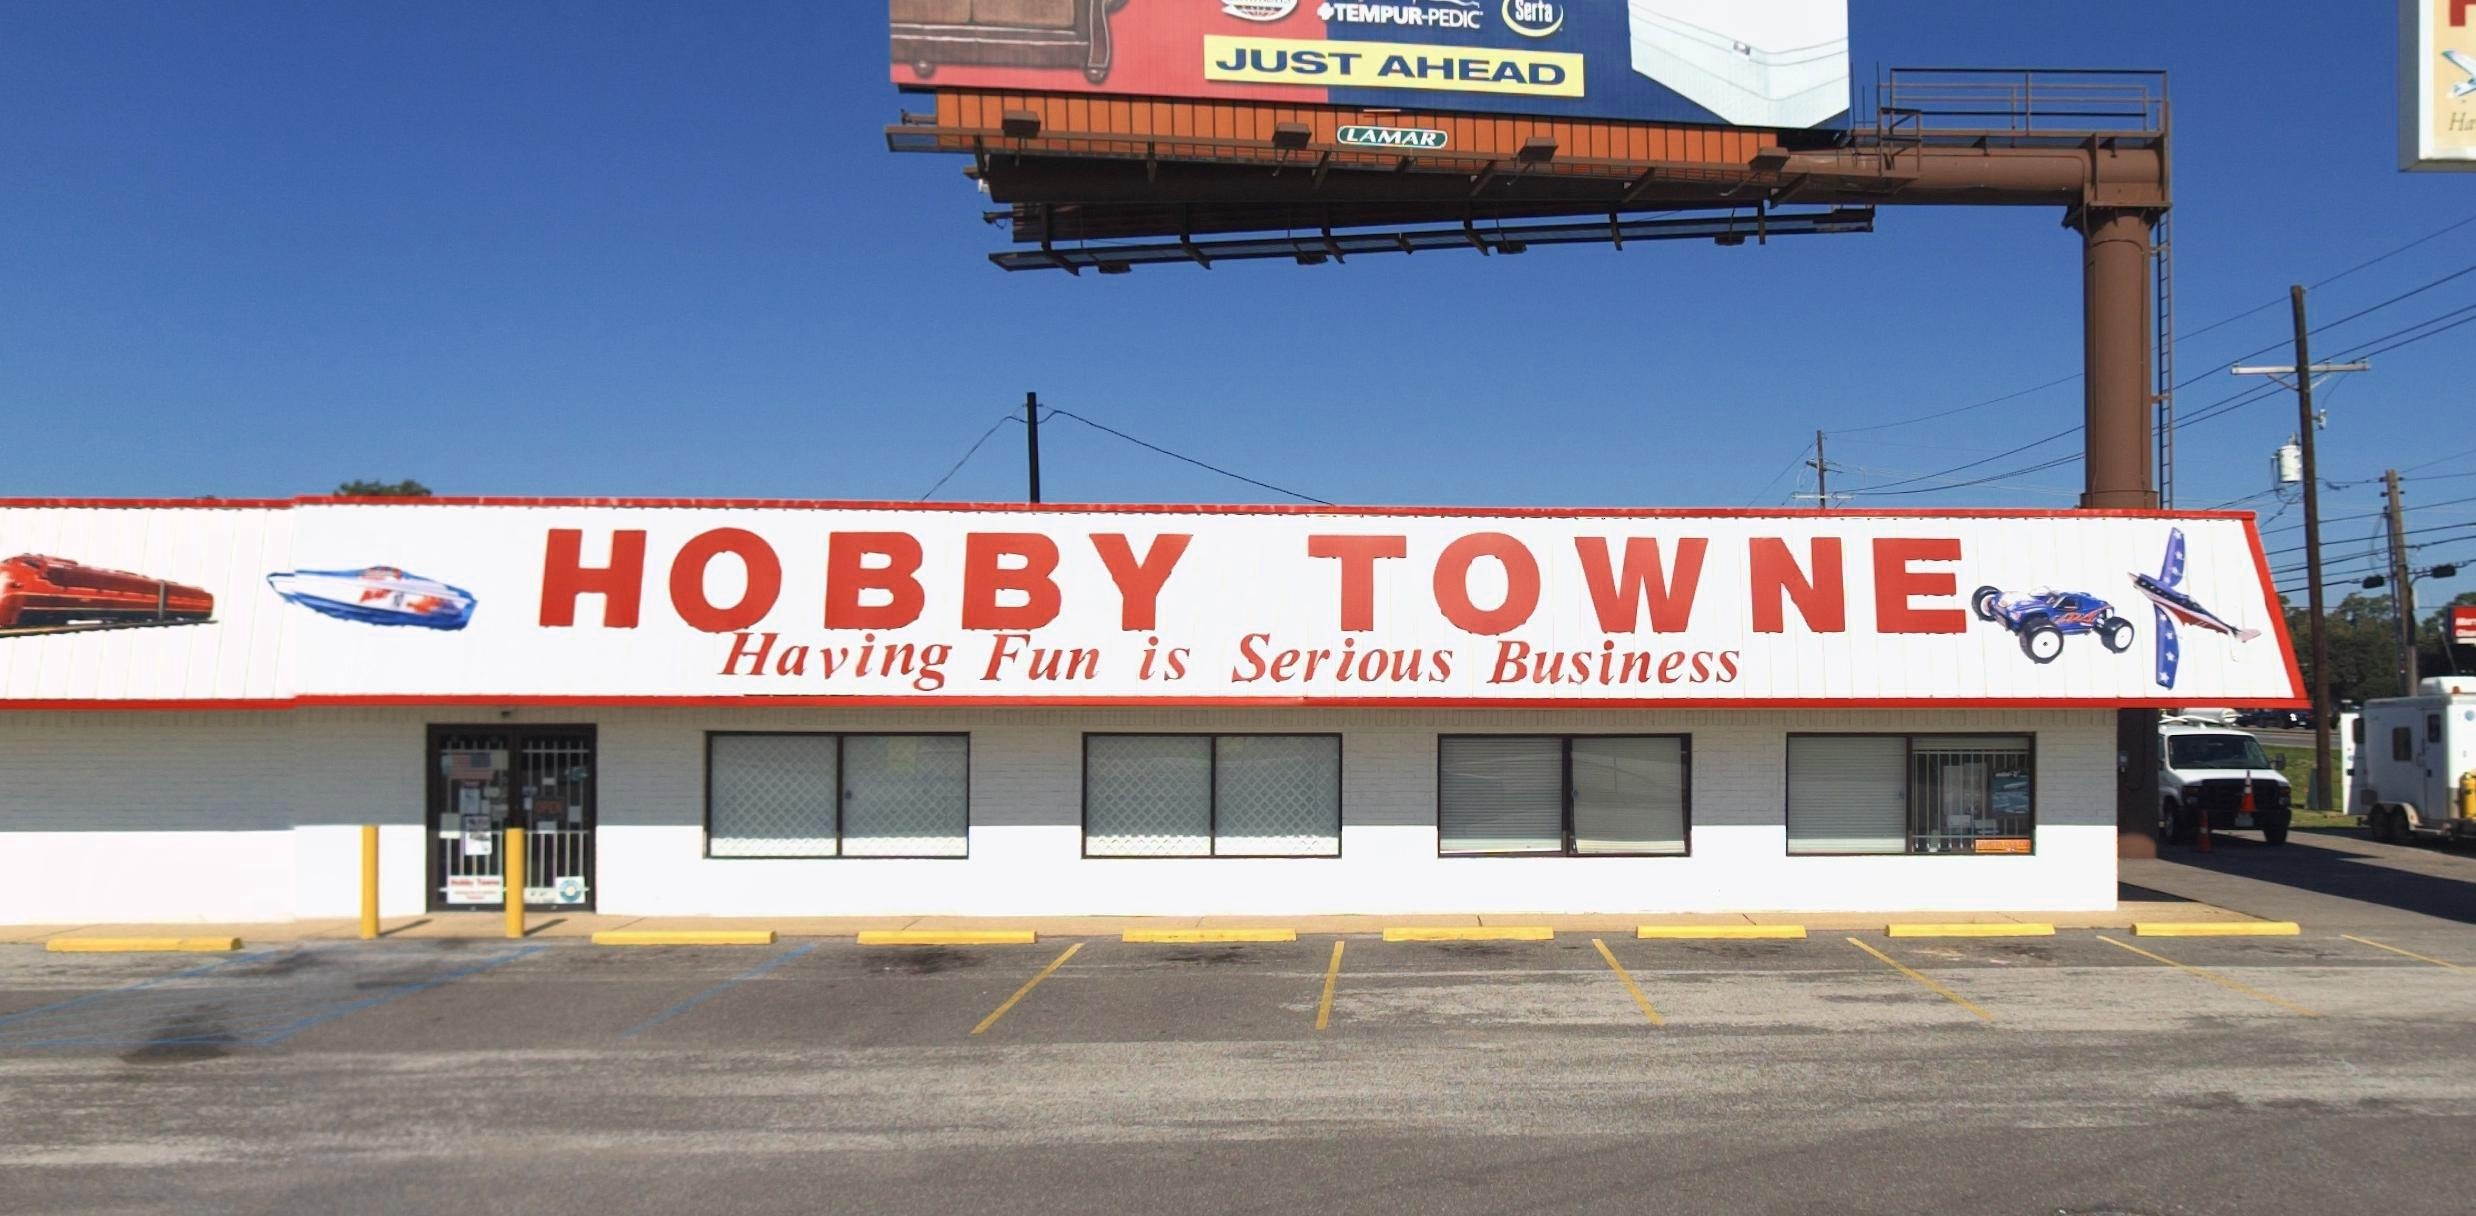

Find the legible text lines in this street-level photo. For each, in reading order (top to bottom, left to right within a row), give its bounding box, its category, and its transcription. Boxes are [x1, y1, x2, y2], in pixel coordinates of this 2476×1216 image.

[1332, 1, 1484, 31] None: TEMPUR-PEDIC
[1523, 0, 1555, 24] None: erta
[1211, 44, 1569, 88] None: JUST AHEAD
[2444, 108, 2476, 134] None: Ha
[1342, 125, 1438, 148] None: LAMAR
[532, 524, 1971, 638] BusinessName: HOBBY TOWE
[713, 628, 1744, 697] None: Having Fun is Serious Business